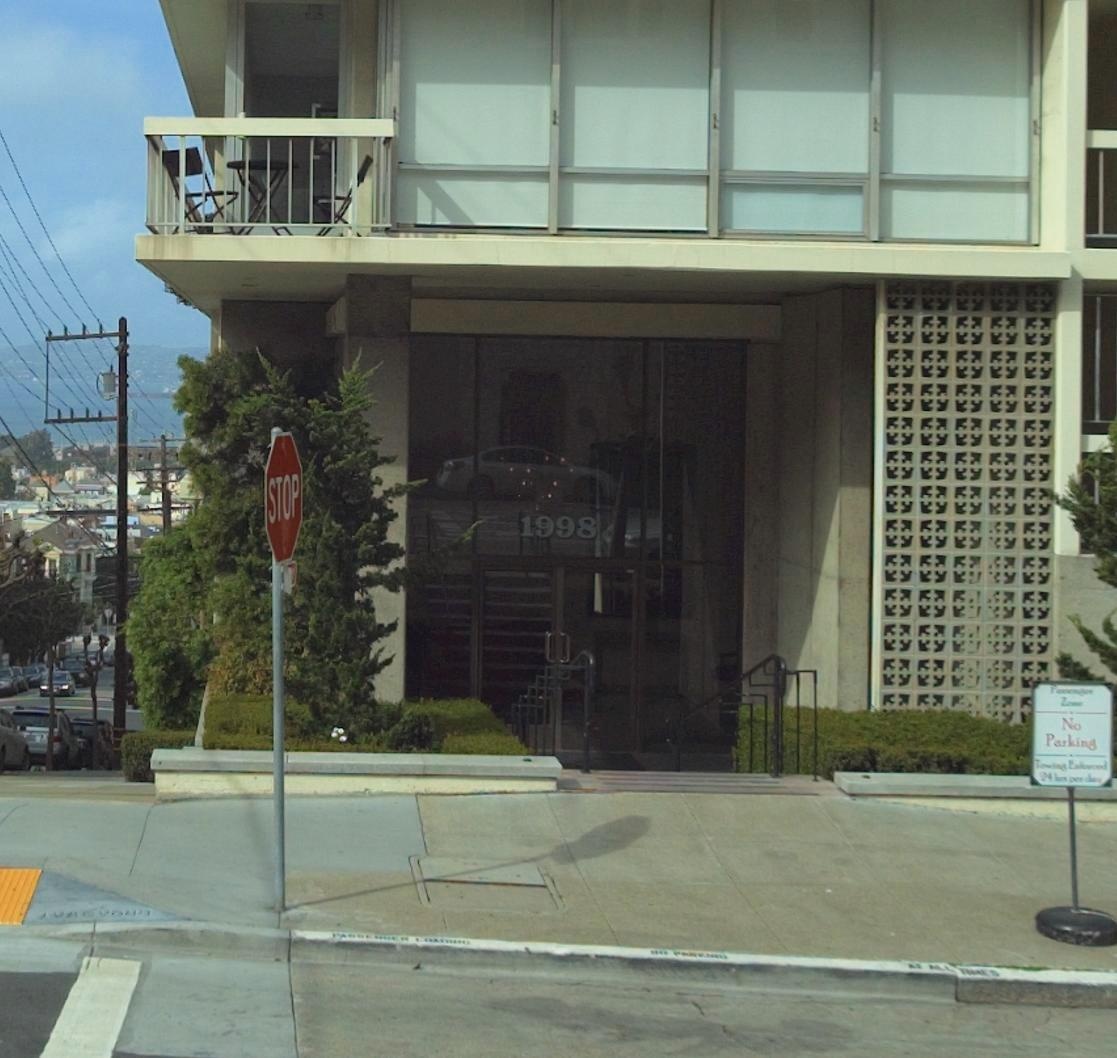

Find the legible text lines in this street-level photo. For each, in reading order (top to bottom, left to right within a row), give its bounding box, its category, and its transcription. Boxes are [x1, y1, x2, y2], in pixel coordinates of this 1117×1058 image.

[266, 470, 302, 528] None: STOP
[519, 514, 598, 540] StreetNumber: 1998
[1059, 714, 1085, 733] None: No
[1042, 730, 1101, 753] None: Parking